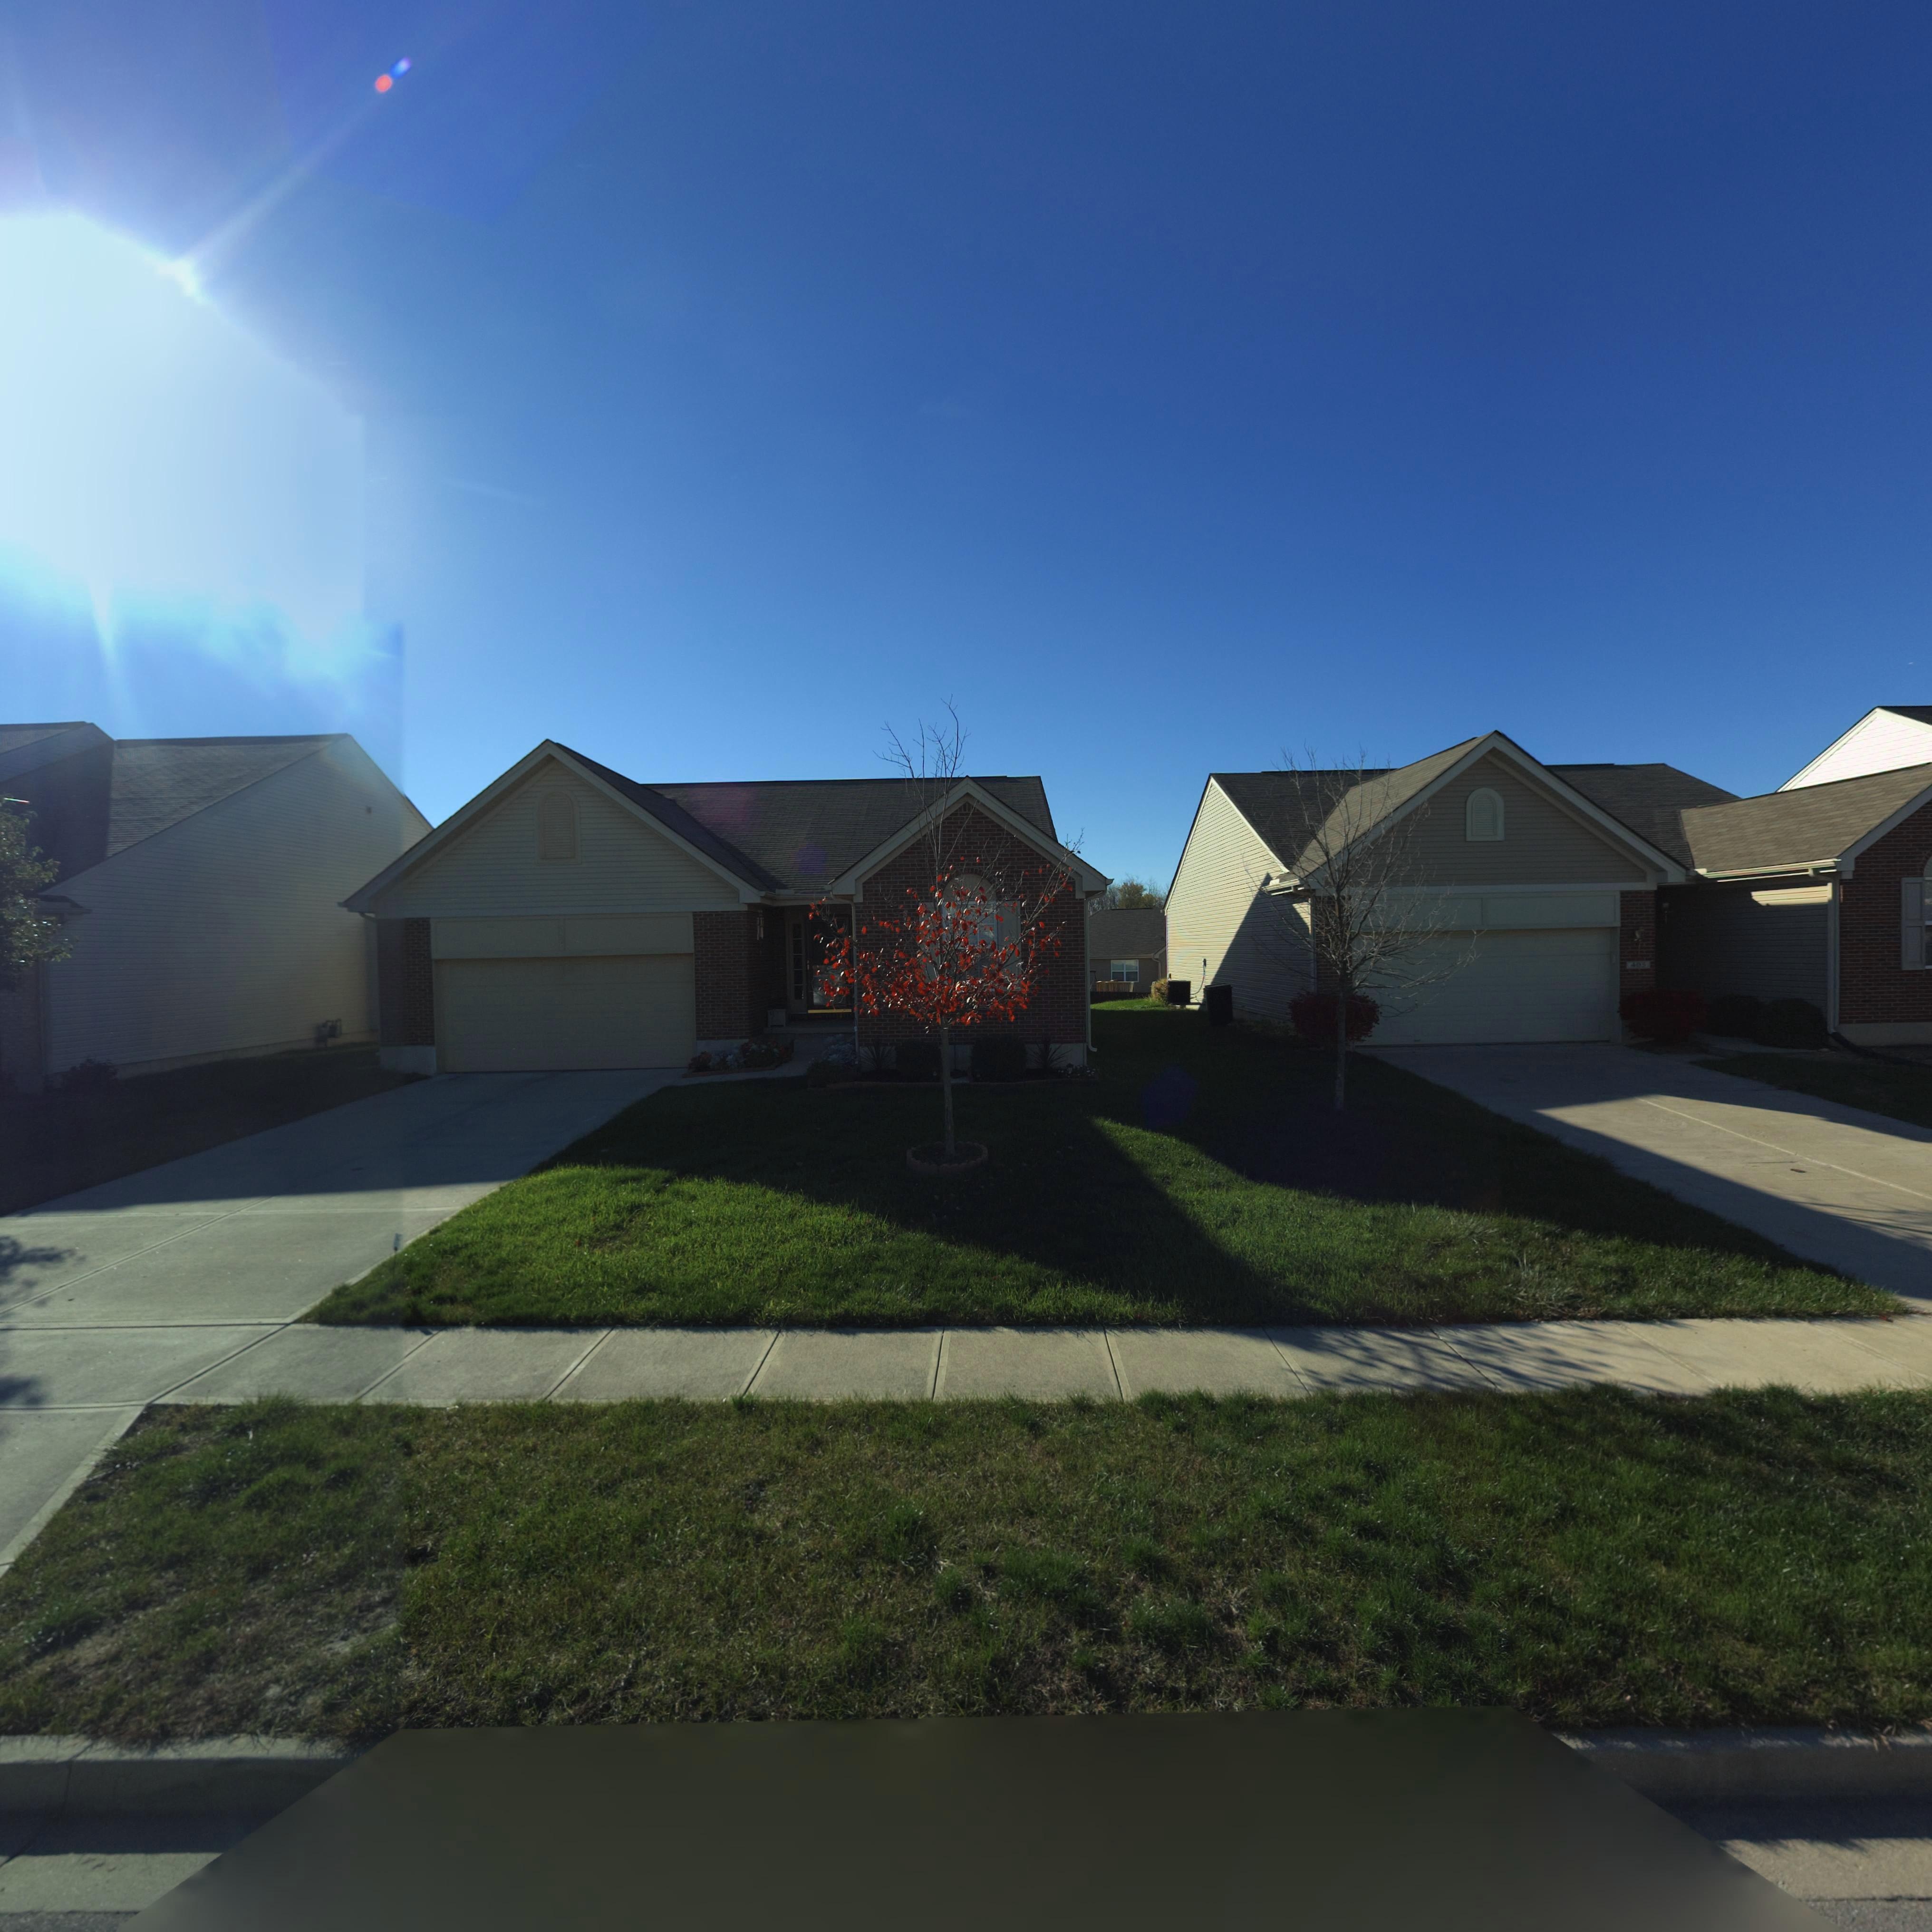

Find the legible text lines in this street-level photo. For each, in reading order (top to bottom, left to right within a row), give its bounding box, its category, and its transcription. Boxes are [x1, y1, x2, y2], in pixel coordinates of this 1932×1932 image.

[1630, 961, 1647, 968] StreetNumber: 405